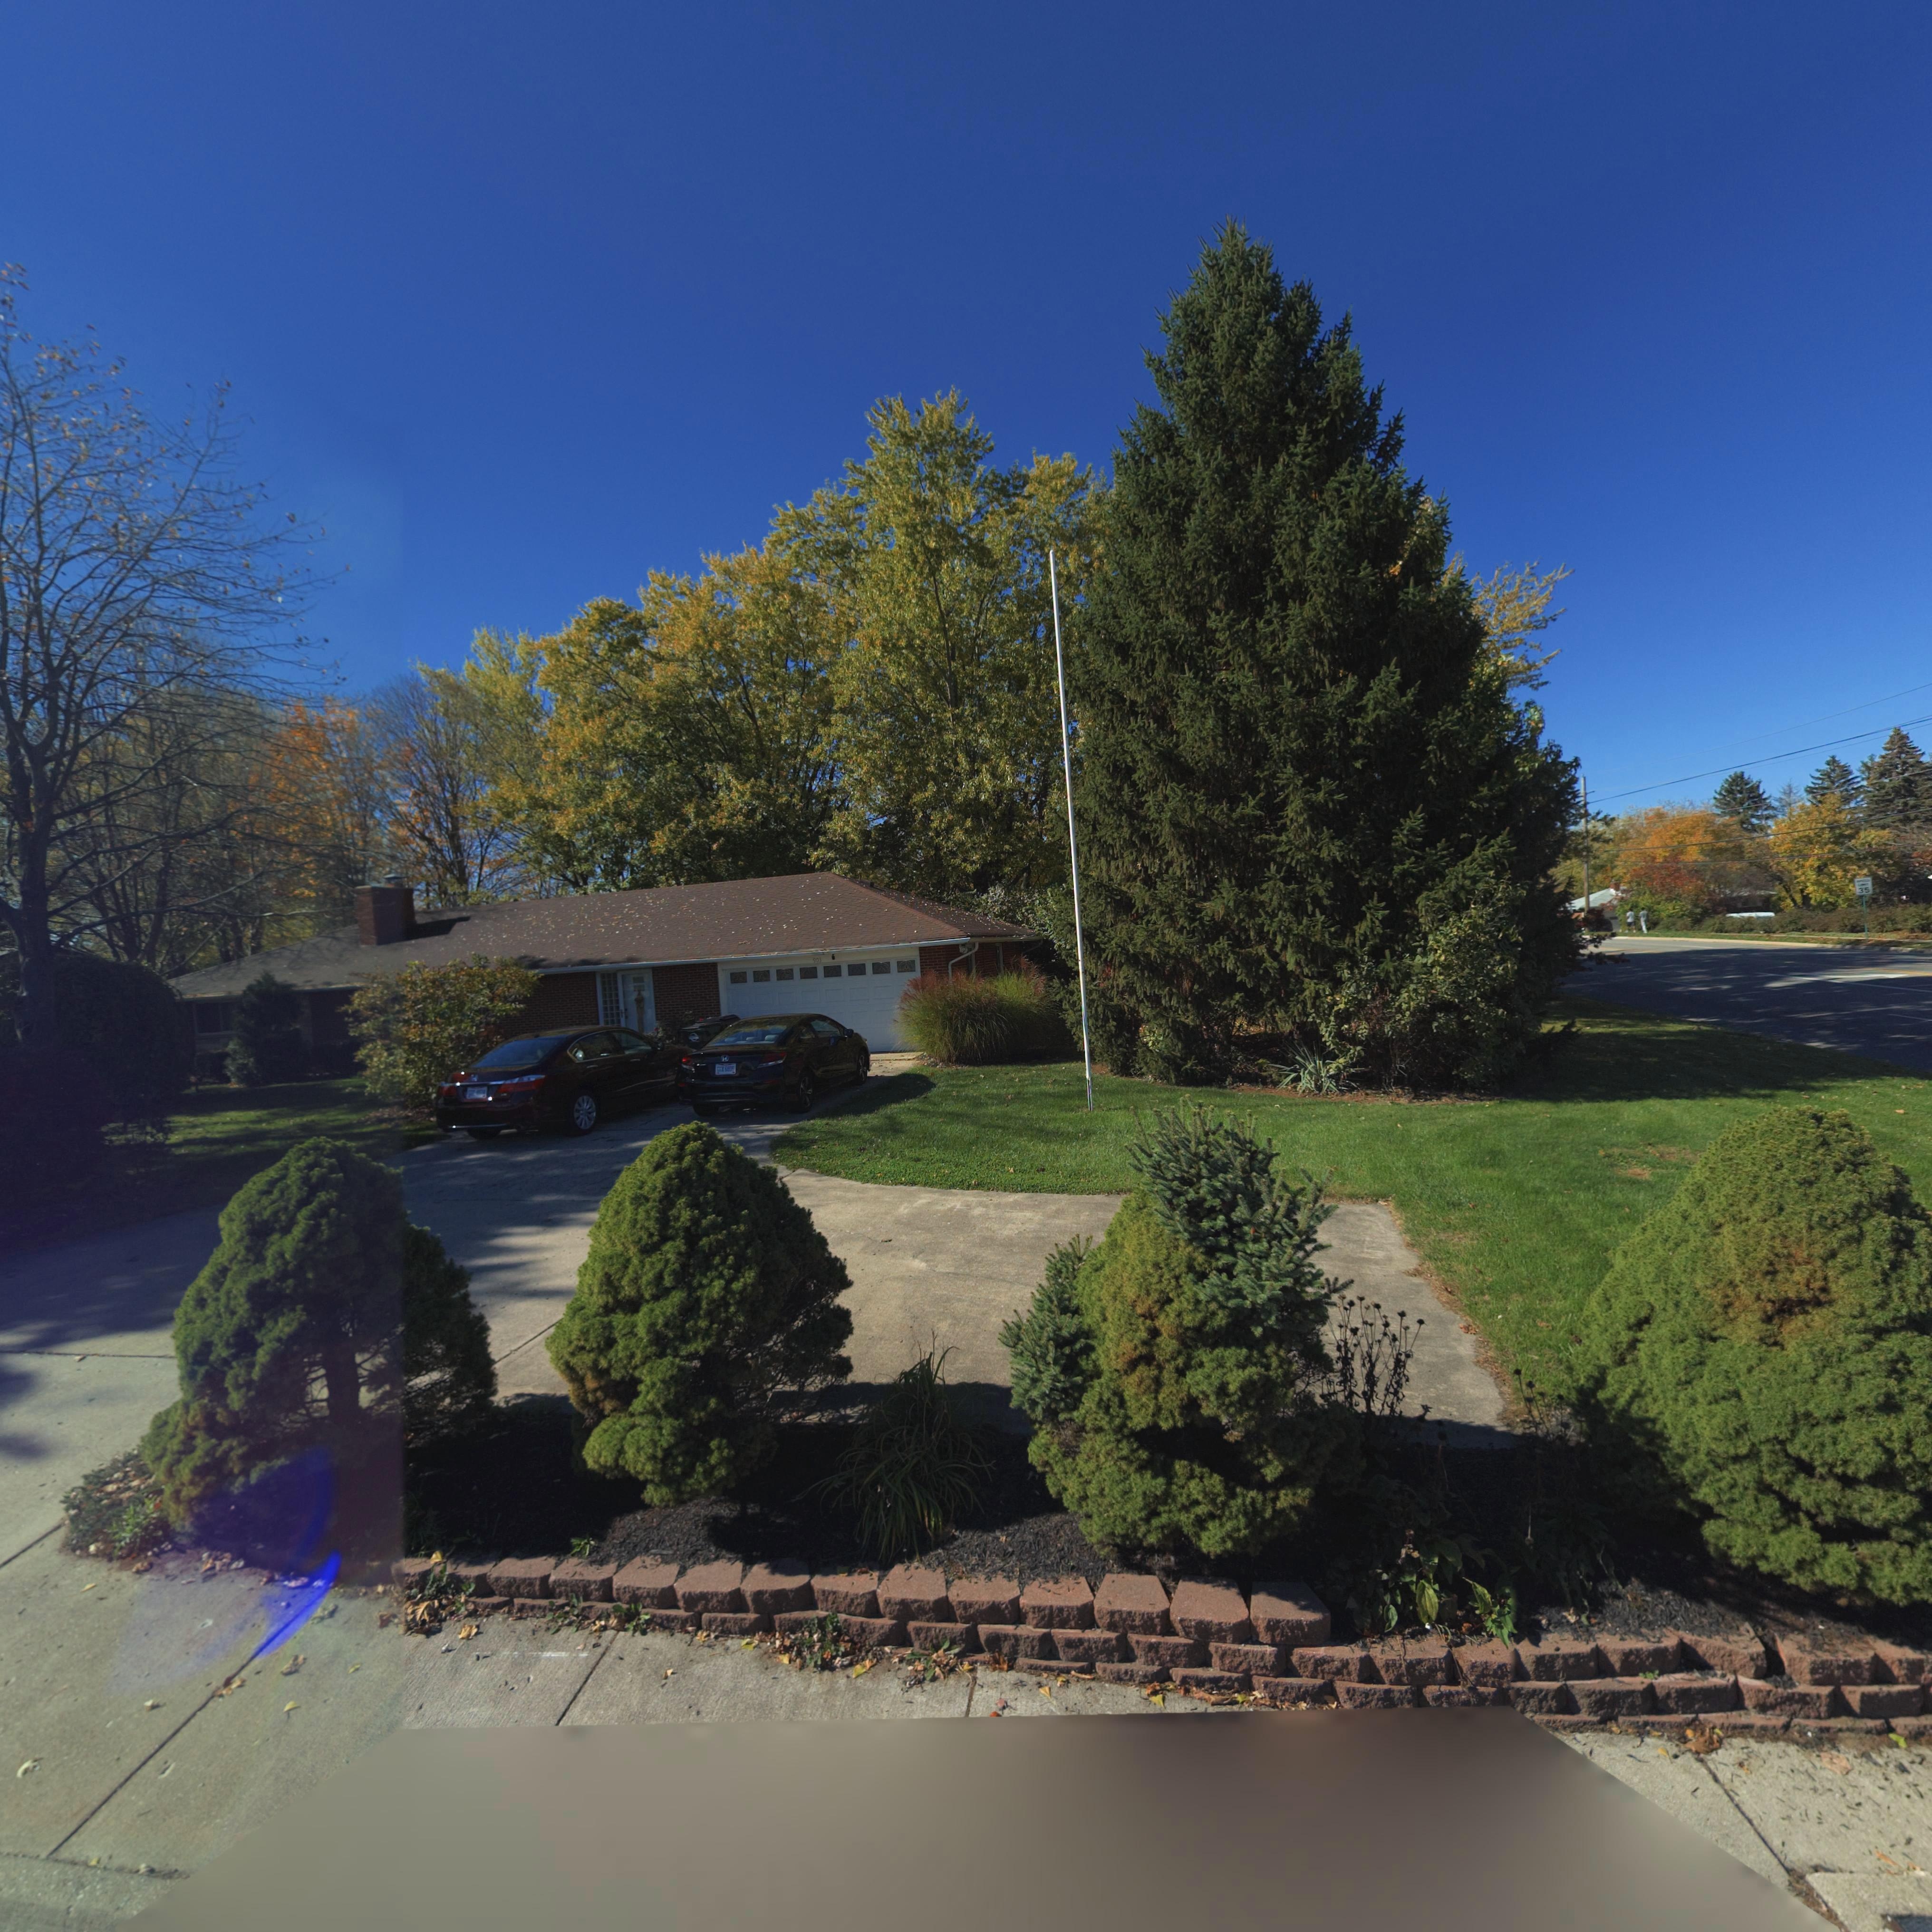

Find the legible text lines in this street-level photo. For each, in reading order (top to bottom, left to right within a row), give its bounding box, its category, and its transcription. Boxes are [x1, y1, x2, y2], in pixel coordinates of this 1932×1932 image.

[812, 956, 822, 964] StreetNumber: 90*